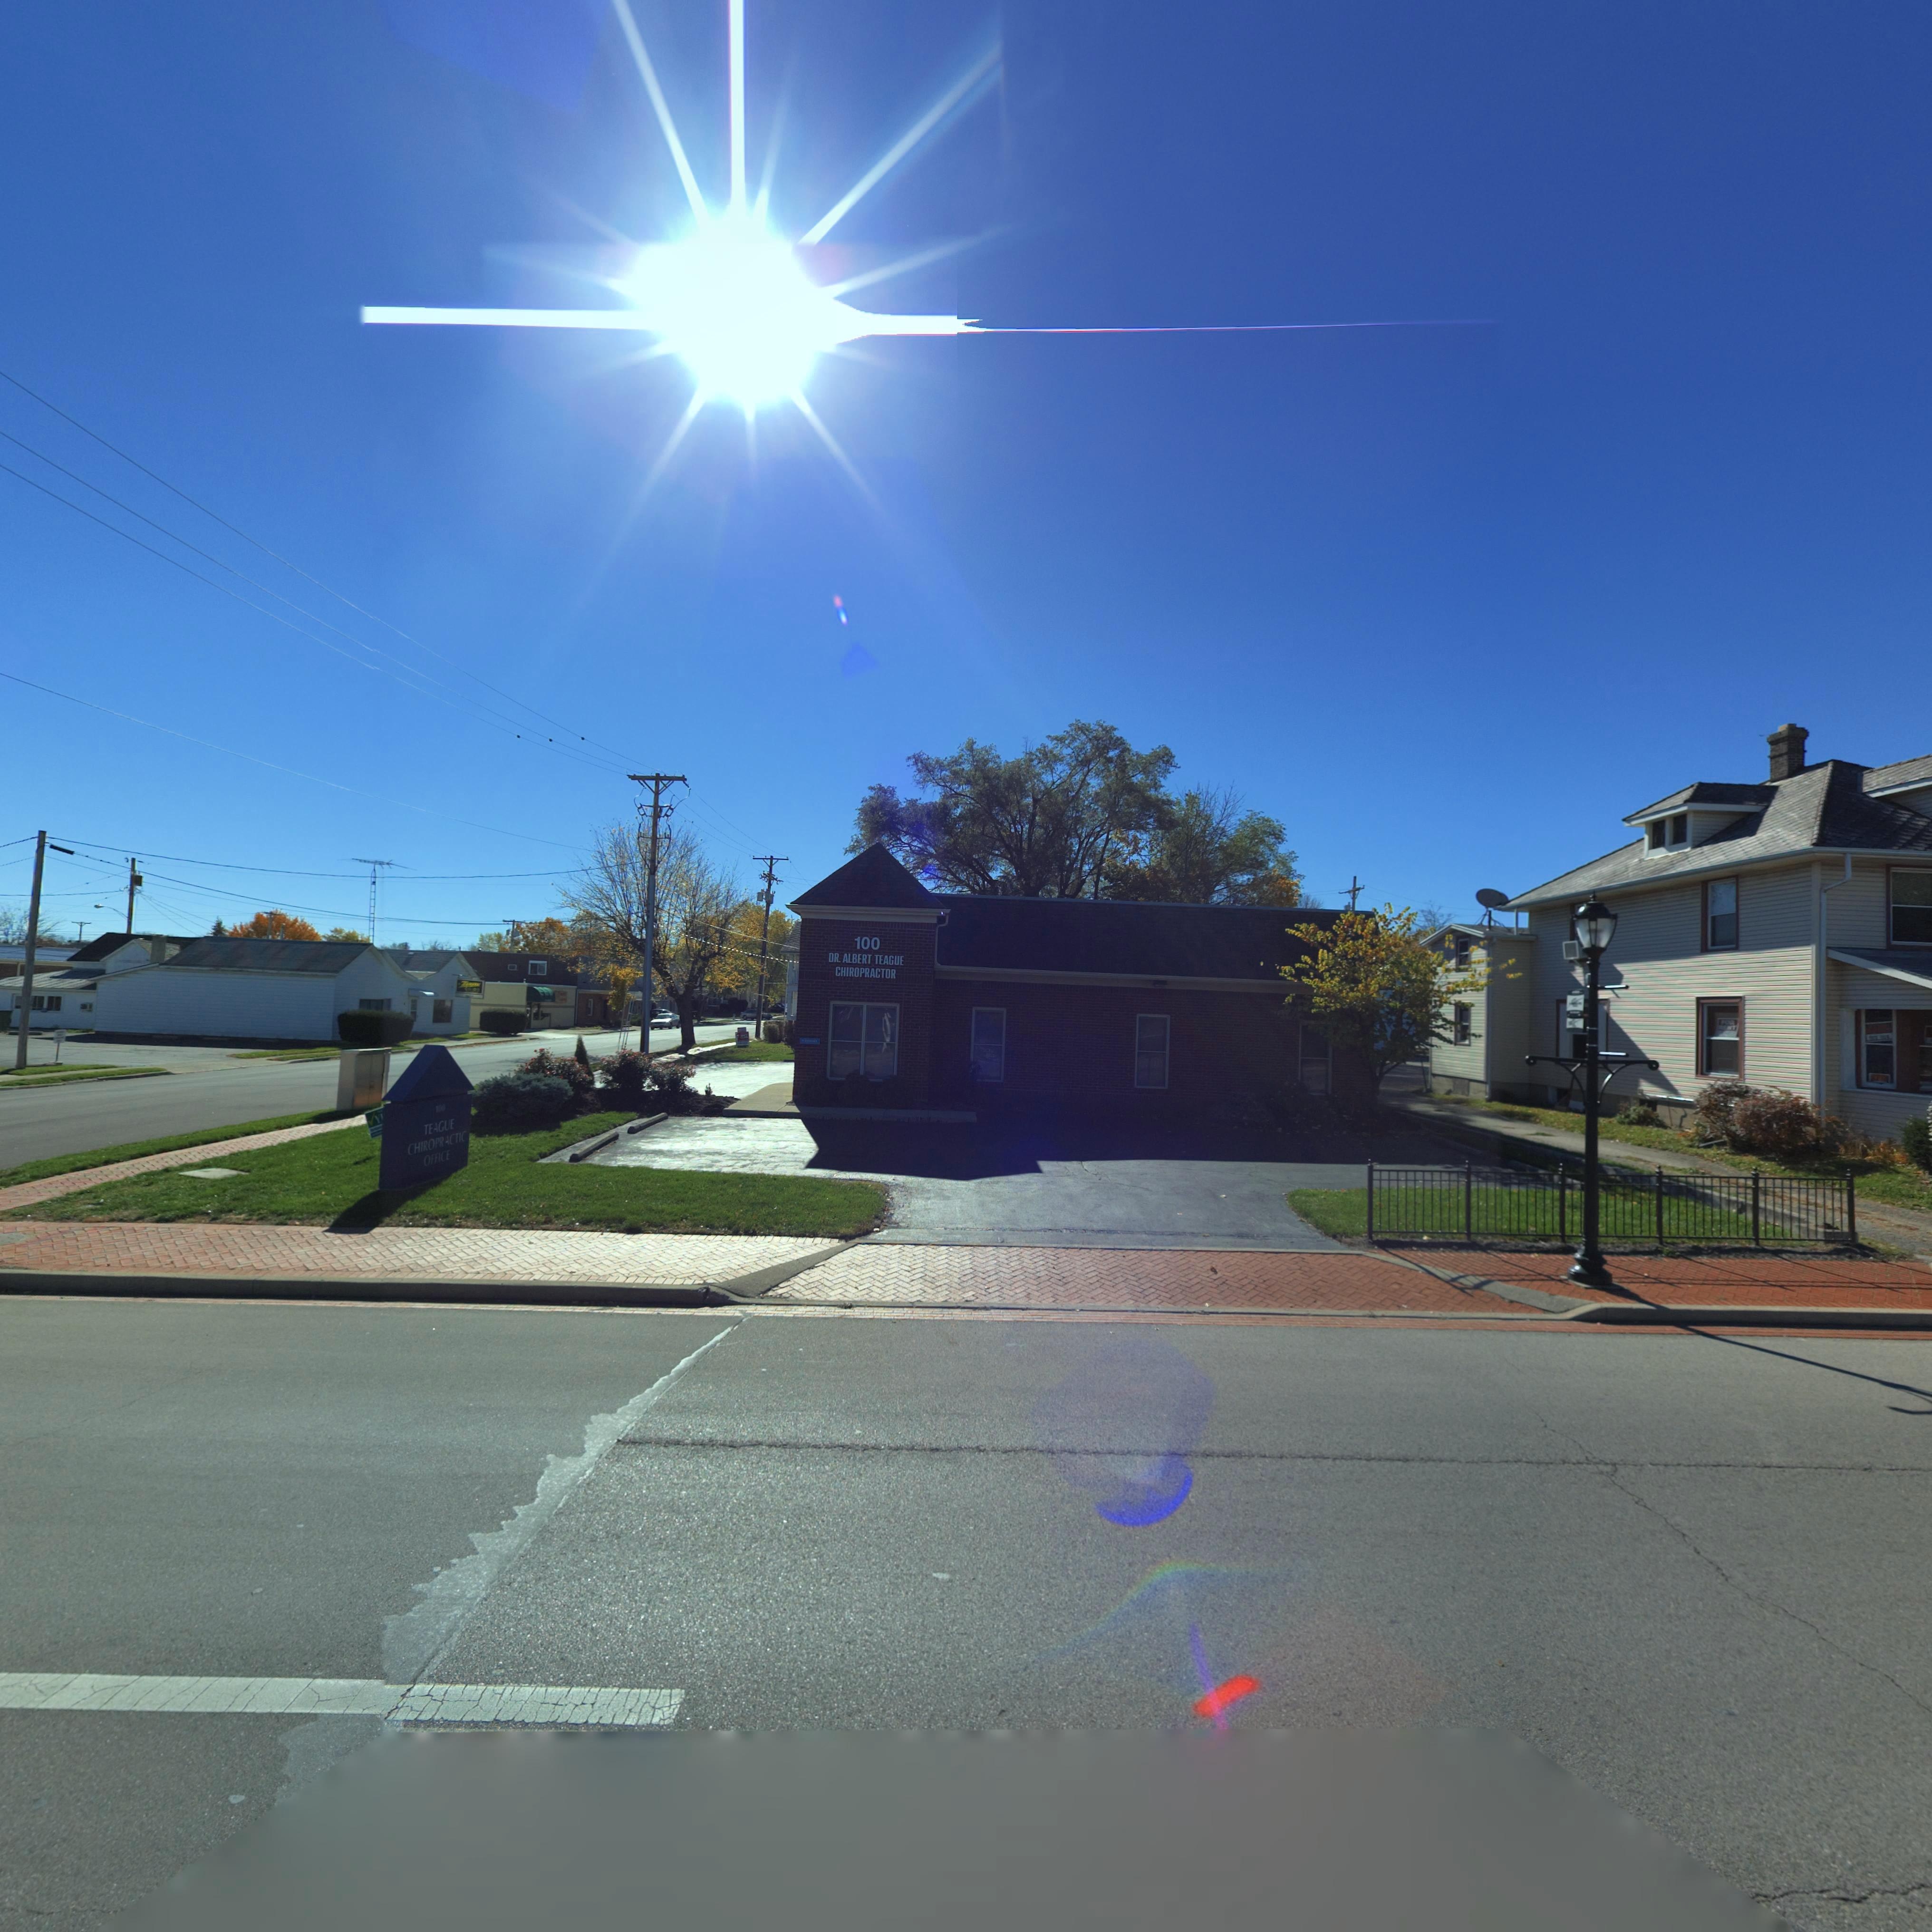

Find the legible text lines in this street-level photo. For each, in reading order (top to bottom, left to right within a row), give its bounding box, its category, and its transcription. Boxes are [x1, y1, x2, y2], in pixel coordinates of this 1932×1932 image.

[854, 936, 880, 950] StreetNumber: 100
[827, 952, 905, 966] BusinessName: DR. ALBERT TEAGUE
[834, 966, 897, 980] BusinessName: CHIROPRACTOR
[435, 1103, 446, 1114] StreetNumber: 100
[423, 1117, 455, 1137] BusinessName: TEAGUE
[406, 1130, 467, 1157] BusinessName: CHIROPRACTIC
[423, 1149, 452, 1168] BusinessName: OFFICE